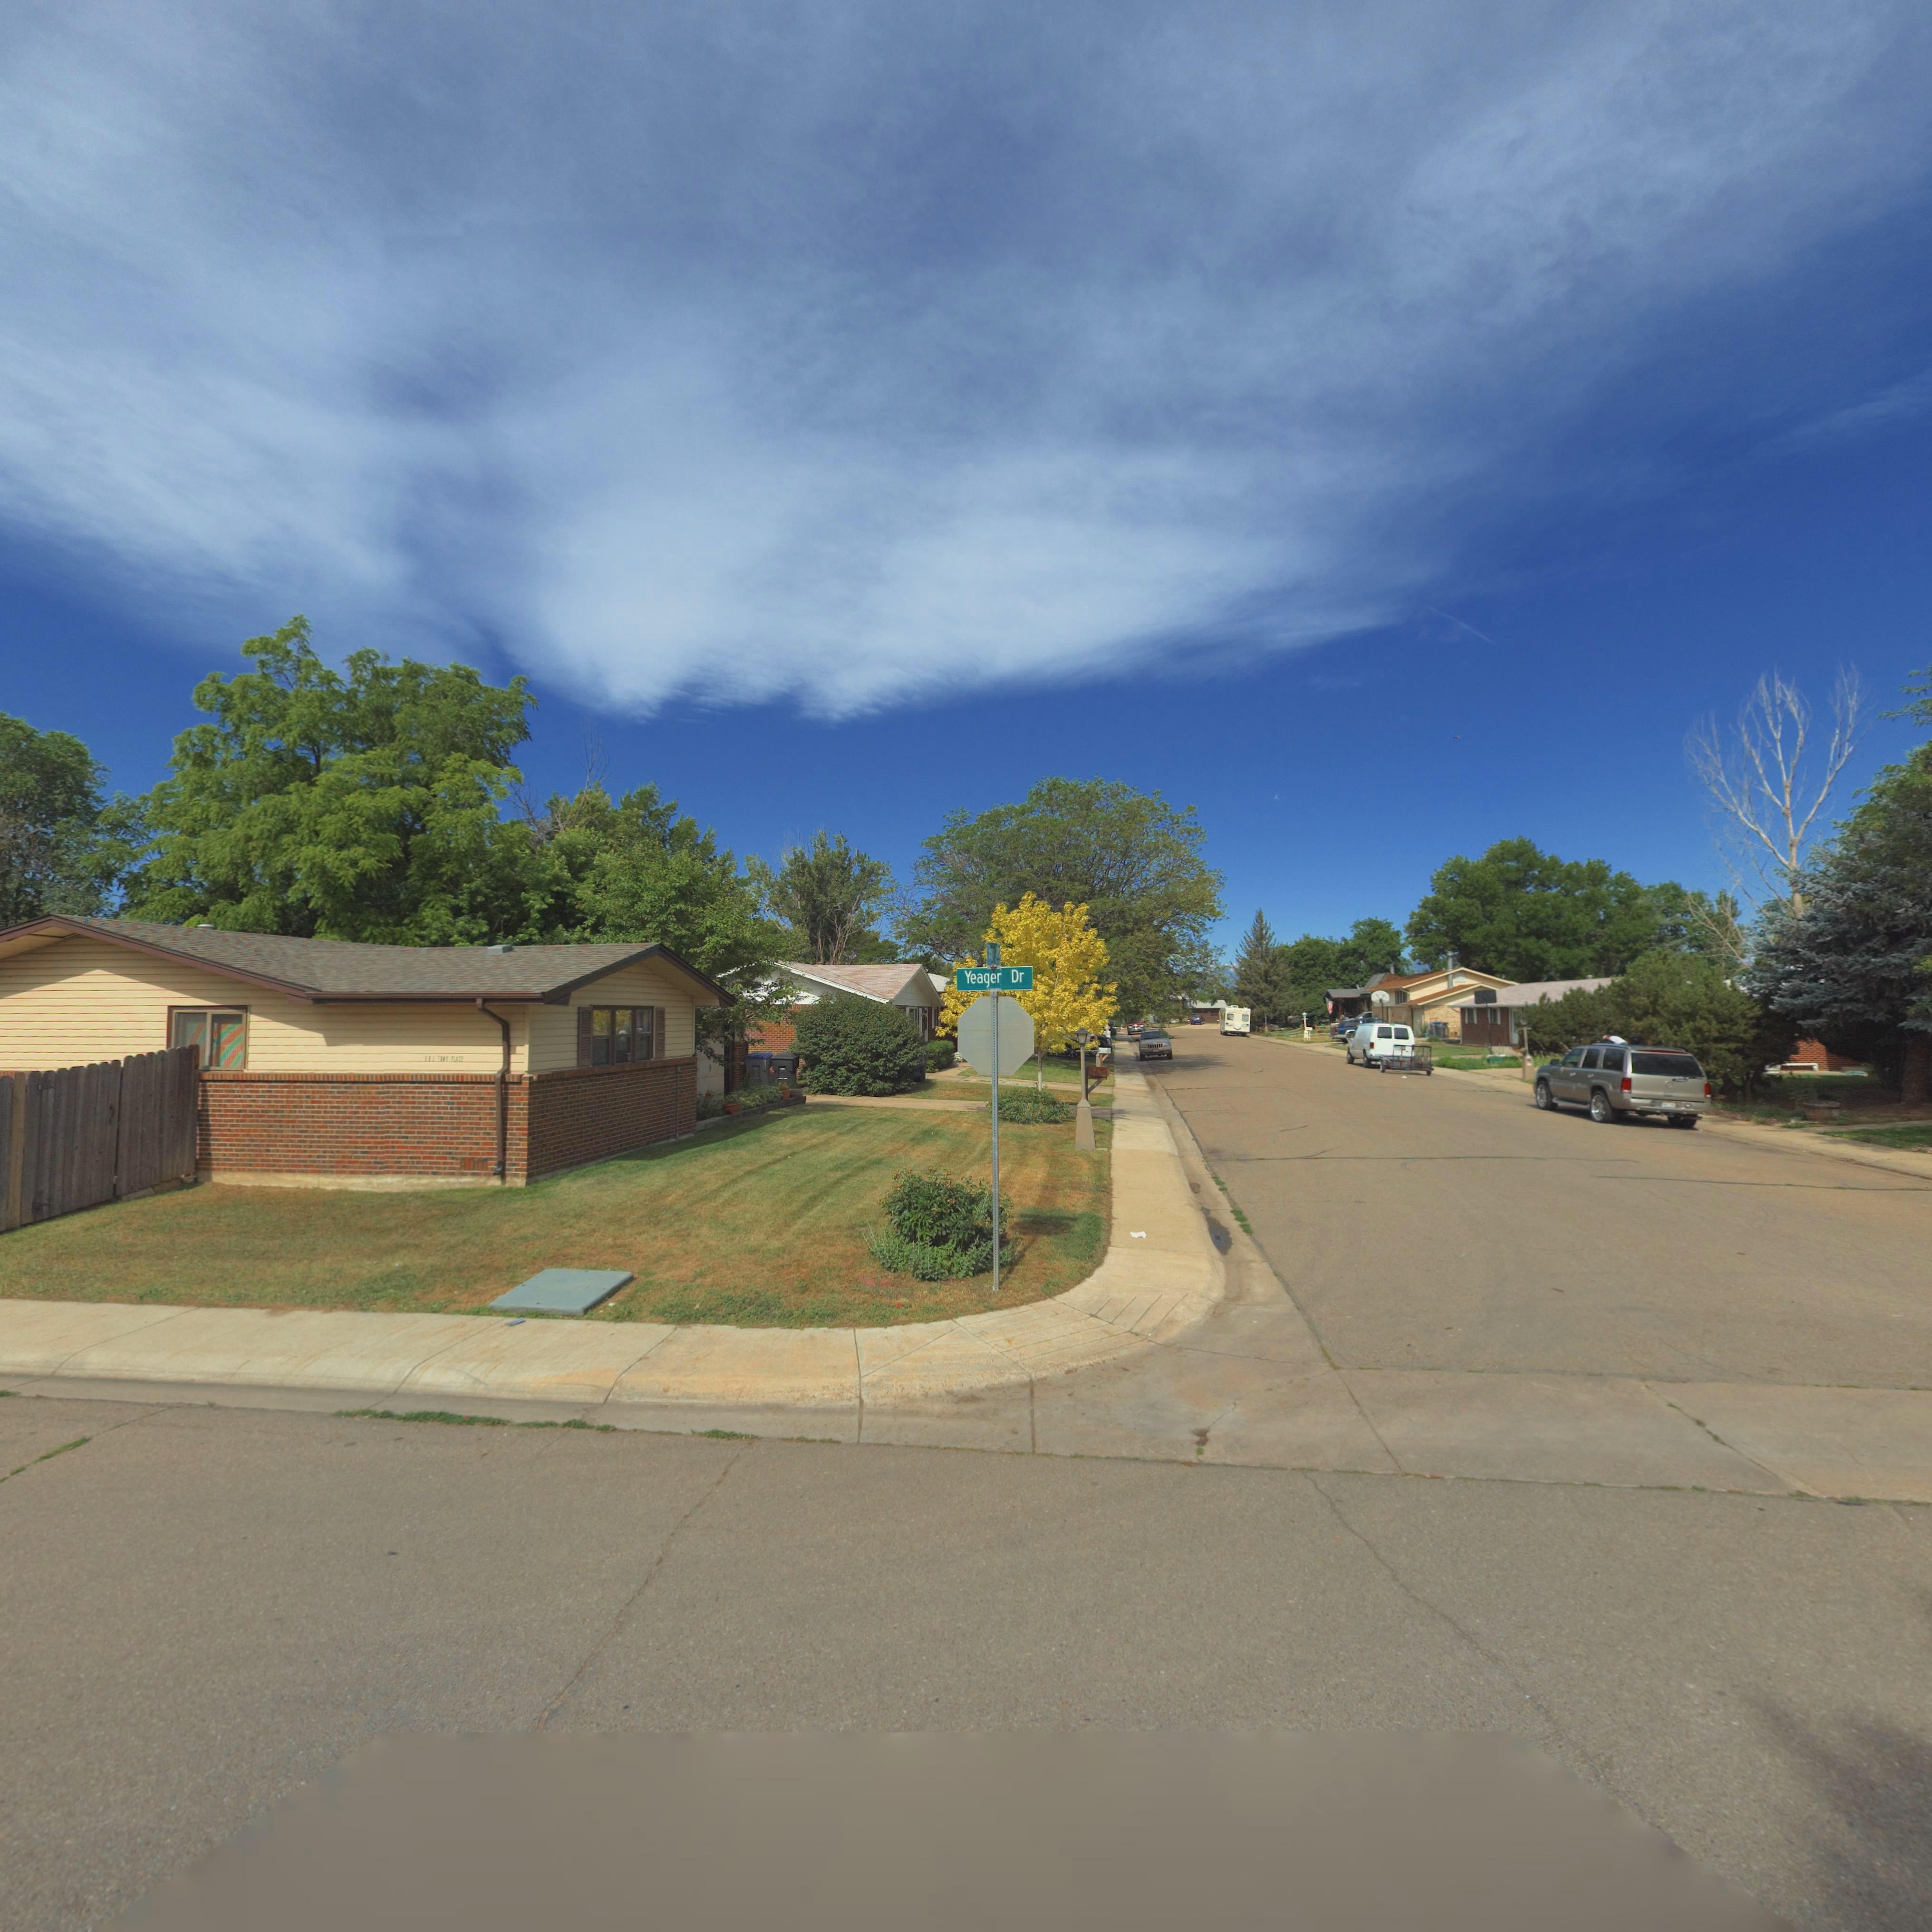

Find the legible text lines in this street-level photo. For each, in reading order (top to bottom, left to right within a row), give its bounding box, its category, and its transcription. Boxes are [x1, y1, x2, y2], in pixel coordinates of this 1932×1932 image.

[987, 944, 1000, 963] StreetName: *o*y P*
[963, 968, 1024, 988] StreetName: Yeager Dr
[437, 1055, 464, 1063] StreetName: T**Y PLACE